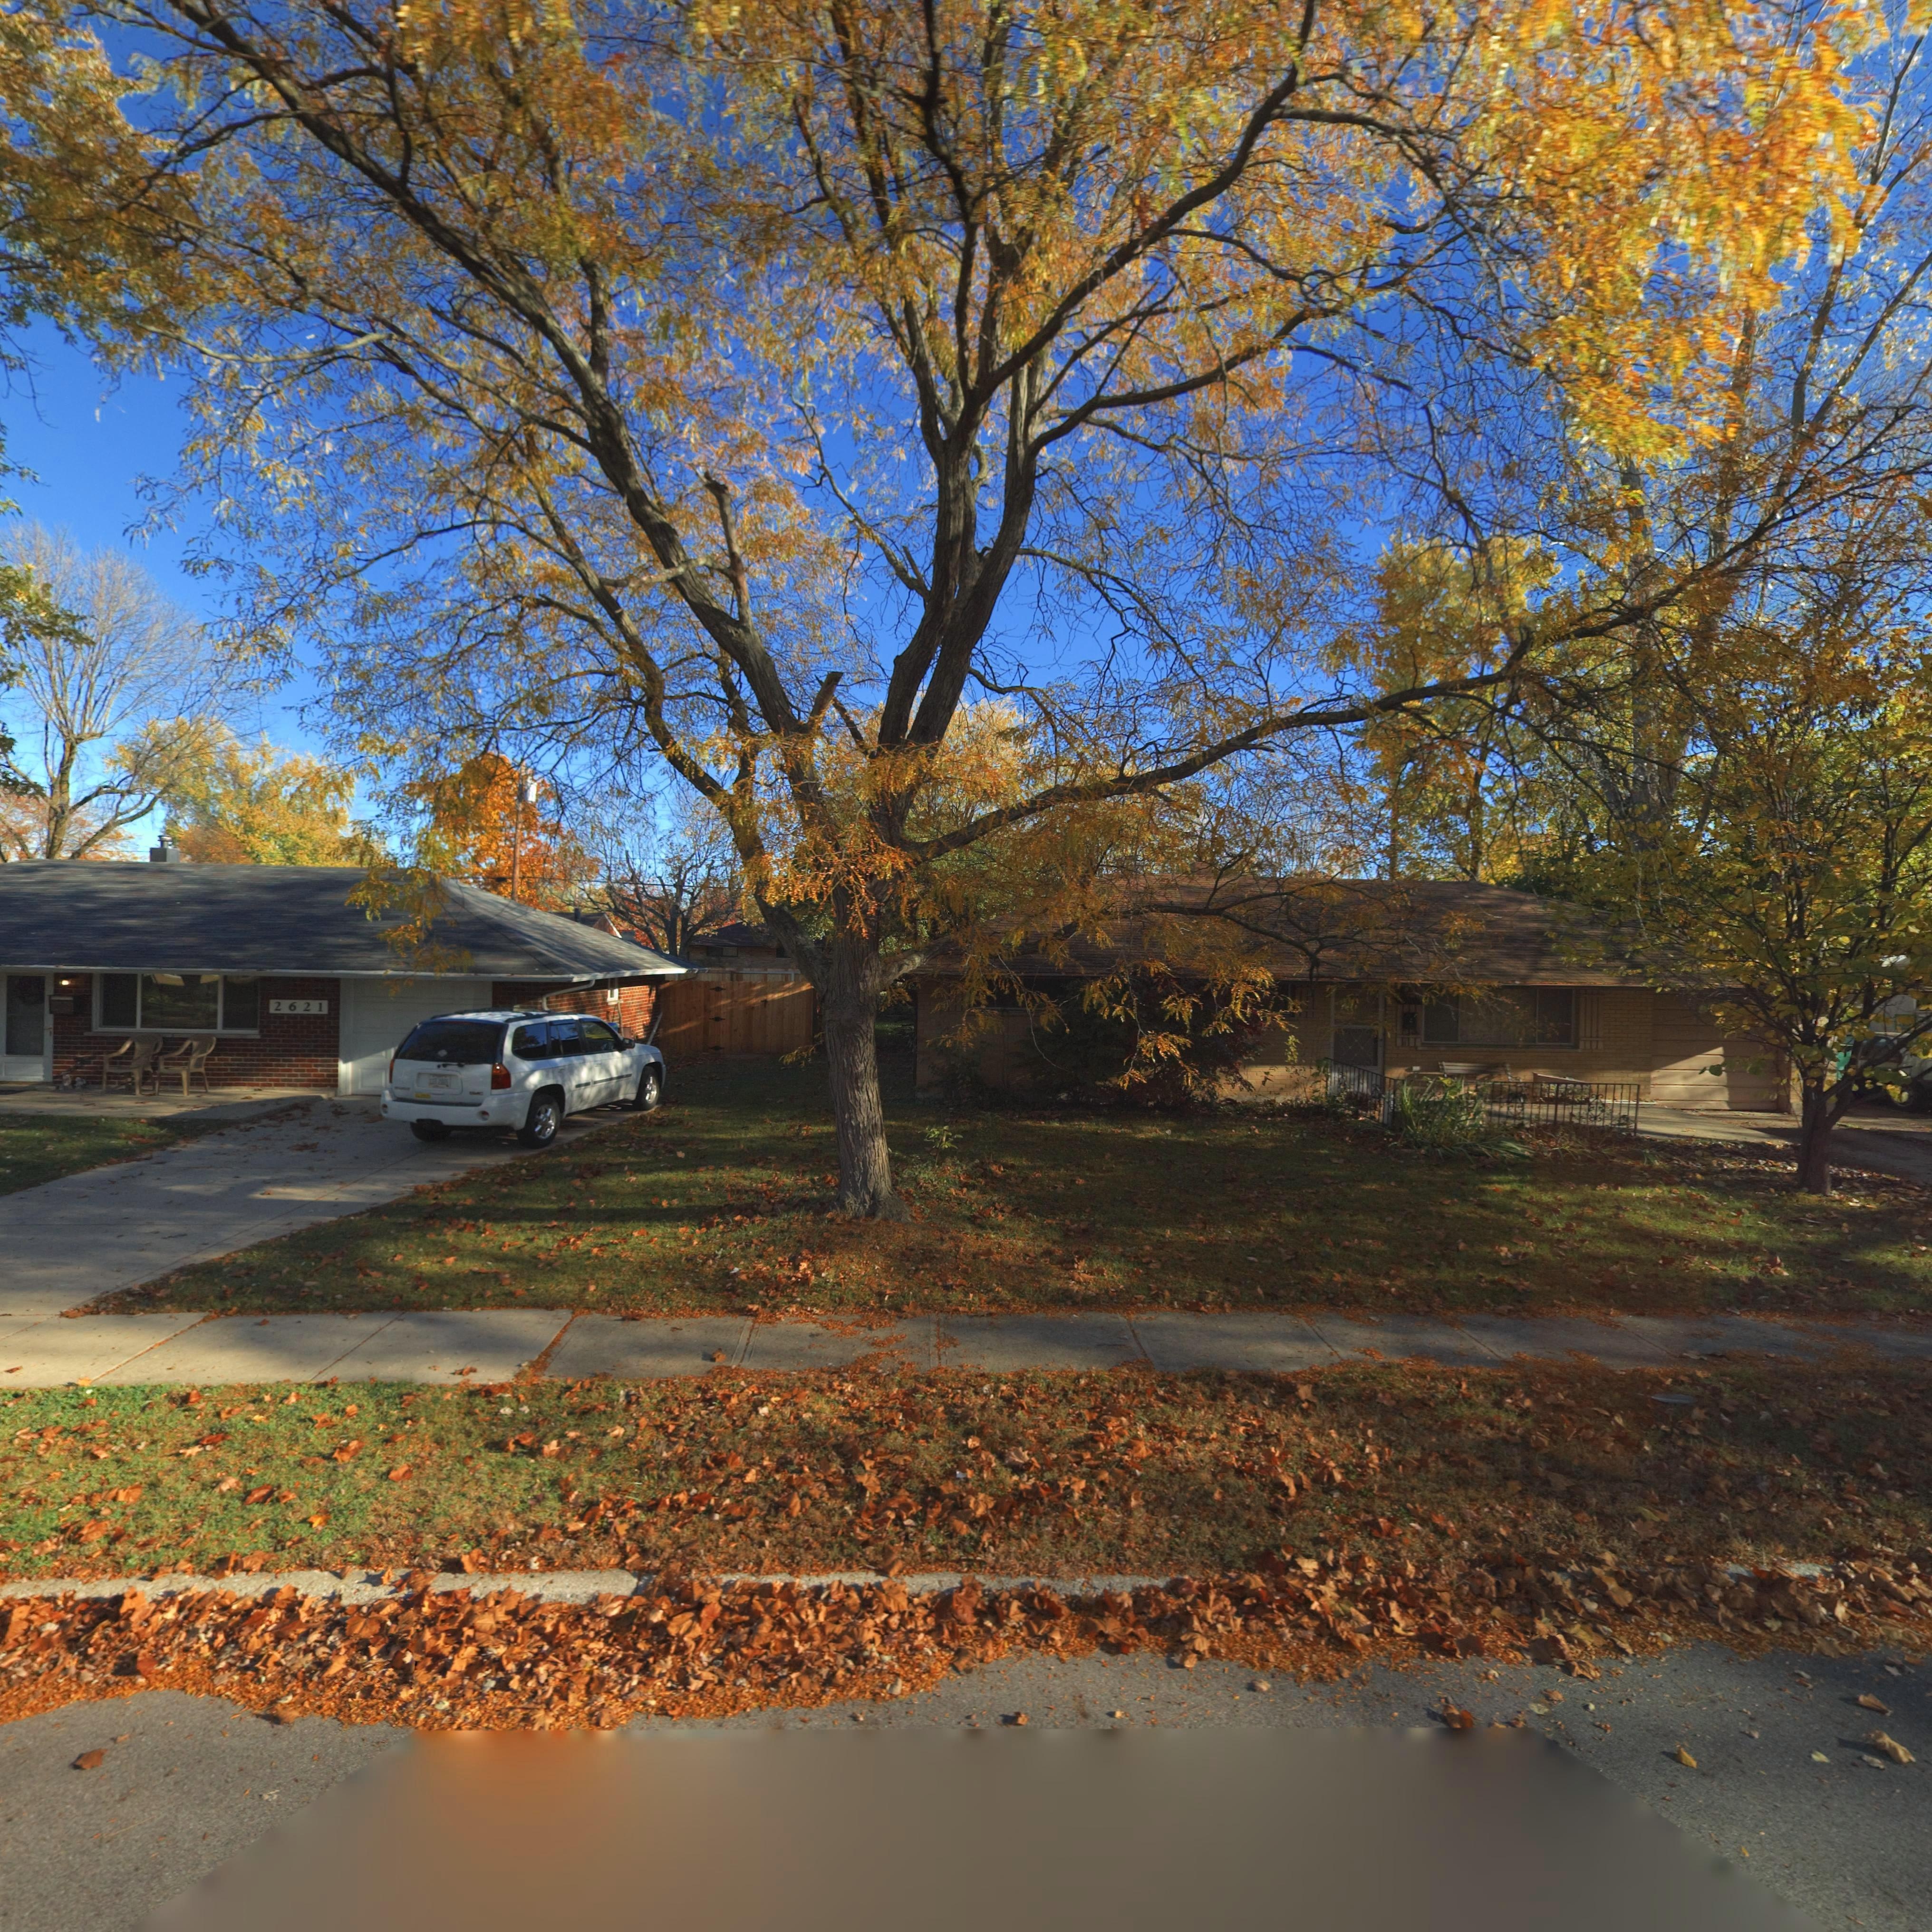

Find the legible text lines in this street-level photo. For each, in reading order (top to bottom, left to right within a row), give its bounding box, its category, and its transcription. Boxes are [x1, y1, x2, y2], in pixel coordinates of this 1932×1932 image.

[273, 1001, 324, 1013] StreetNumber: 2621